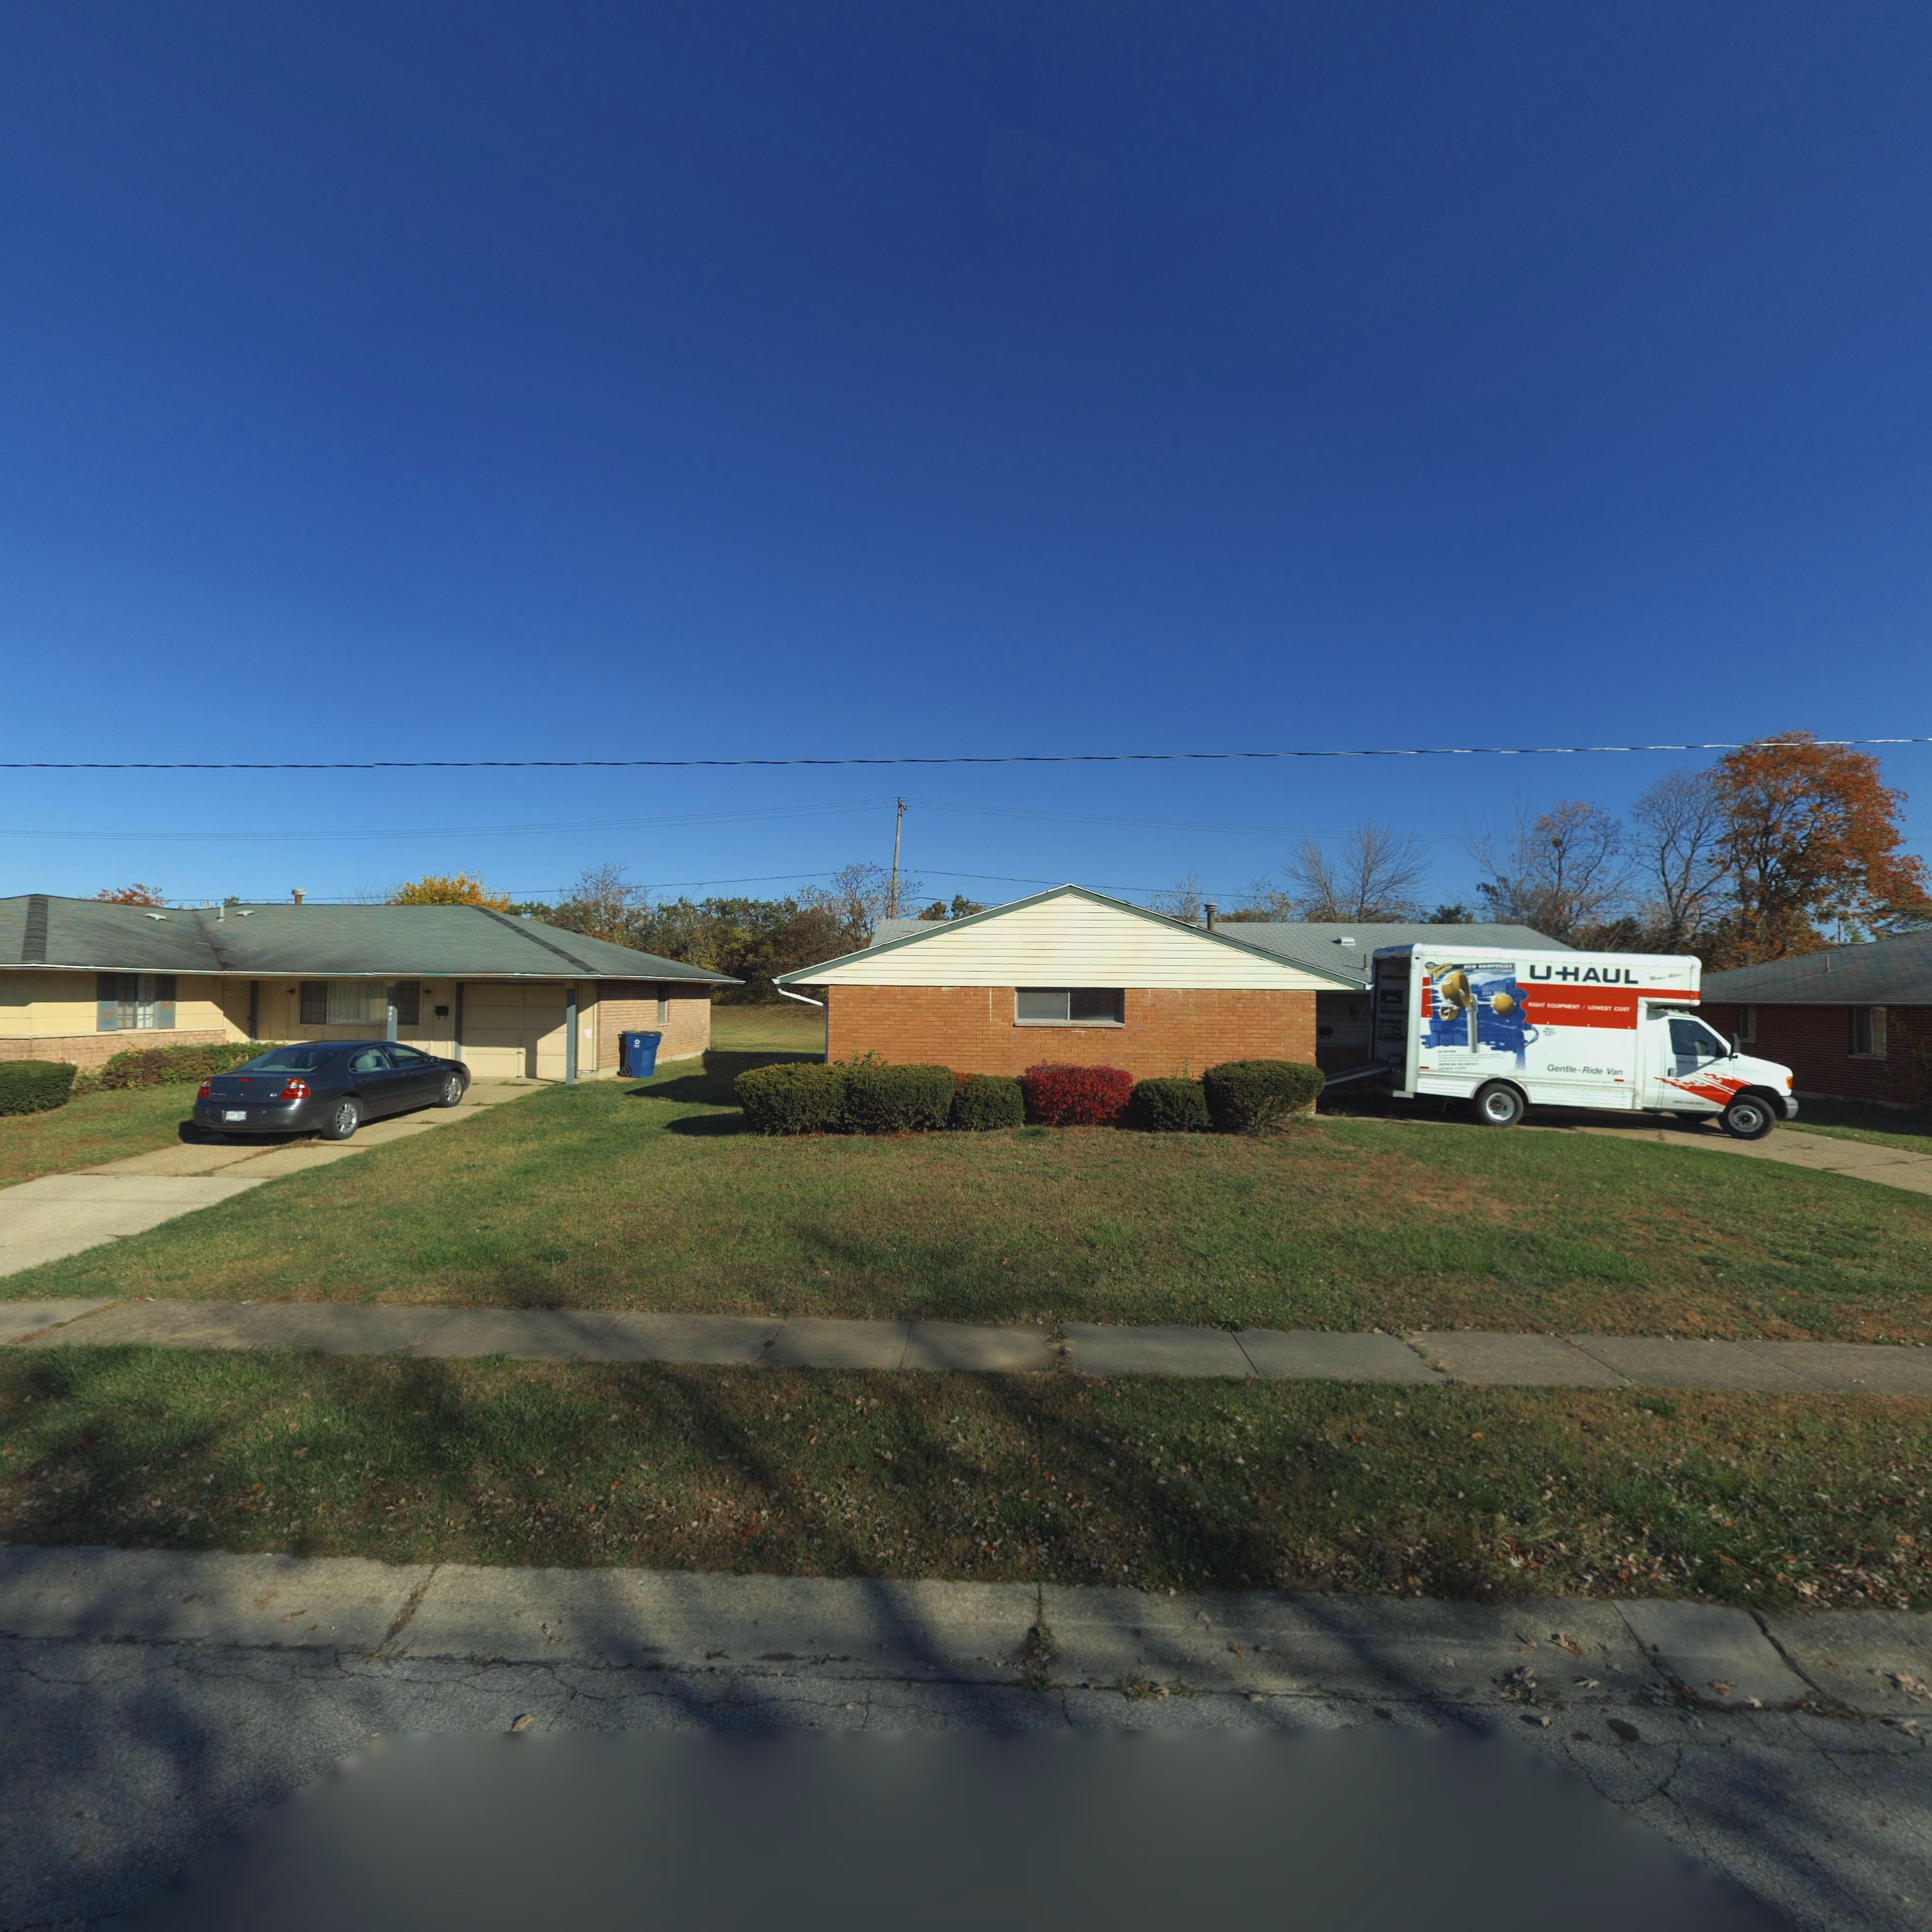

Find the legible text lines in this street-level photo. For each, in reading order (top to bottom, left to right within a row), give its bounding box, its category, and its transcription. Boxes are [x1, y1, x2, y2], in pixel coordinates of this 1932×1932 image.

[387, 1000, 394, 1022] StreetNumber: *941